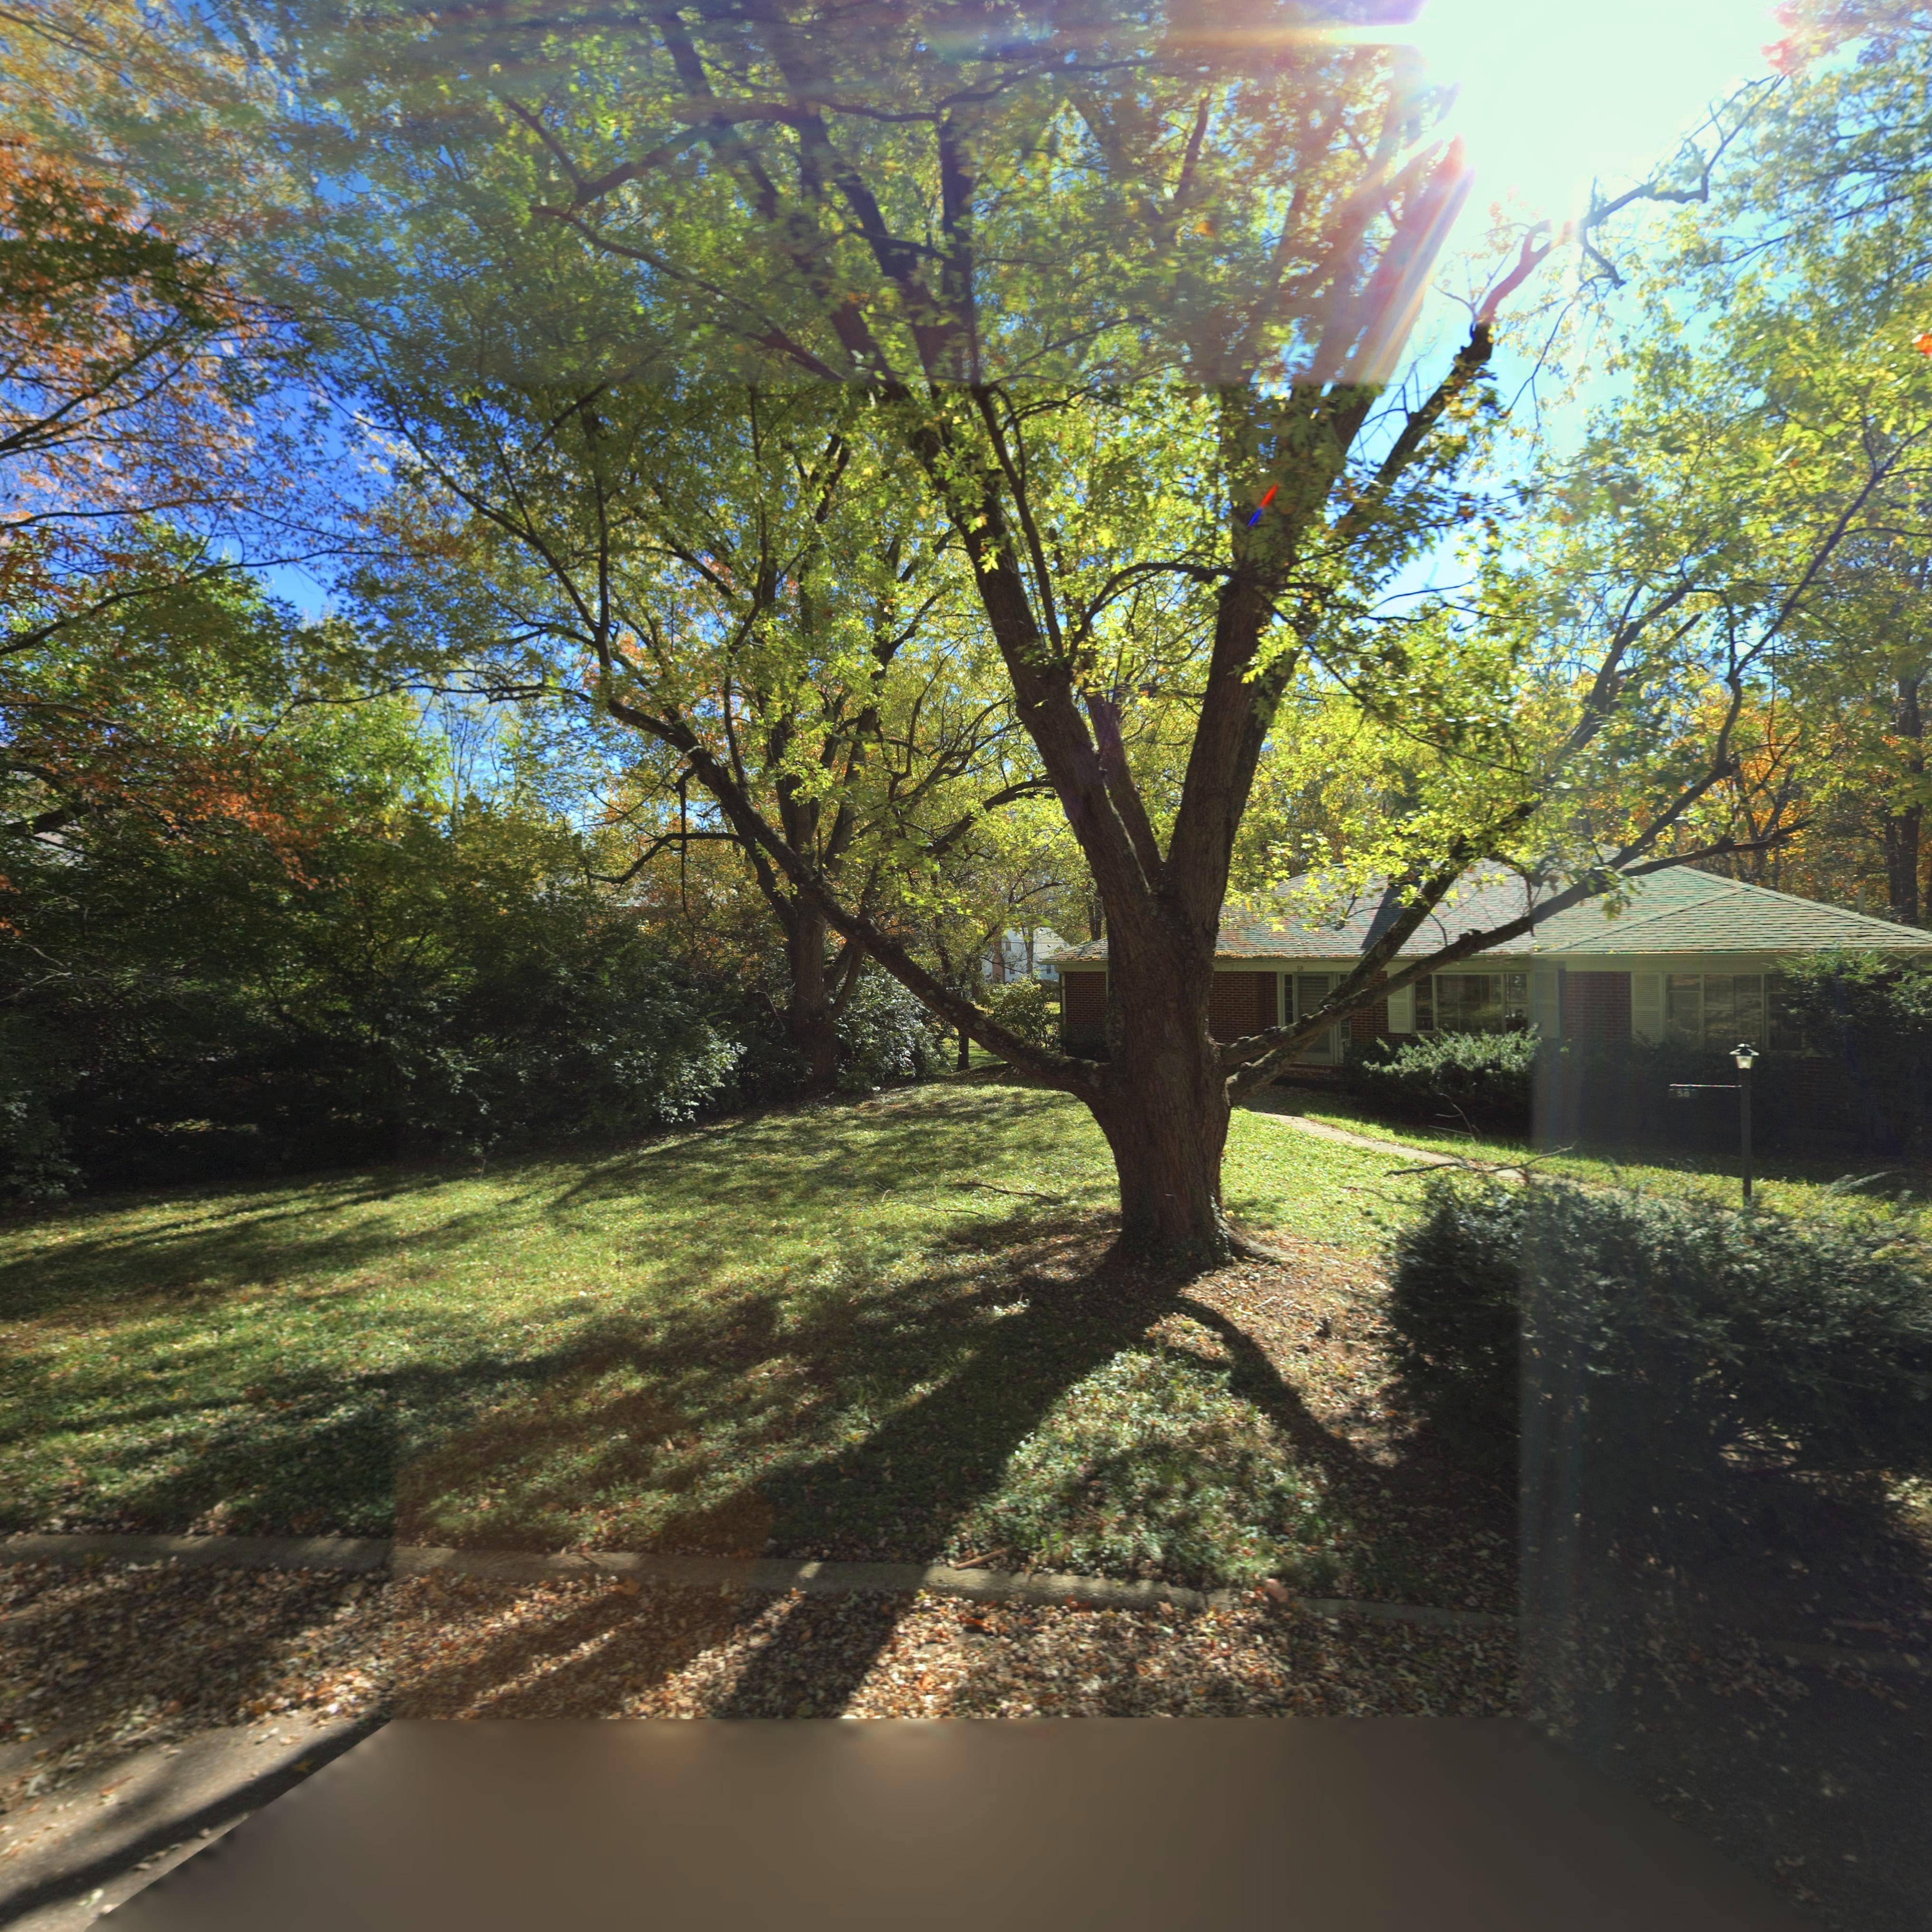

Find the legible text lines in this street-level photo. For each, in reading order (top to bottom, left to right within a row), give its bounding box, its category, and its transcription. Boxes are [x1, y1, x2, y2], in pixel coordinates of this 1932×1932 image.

[1295, 965, 1304, 972] StreetNumber: 58
[1676, 1090, 1690, 1098] StreetNumber: 58